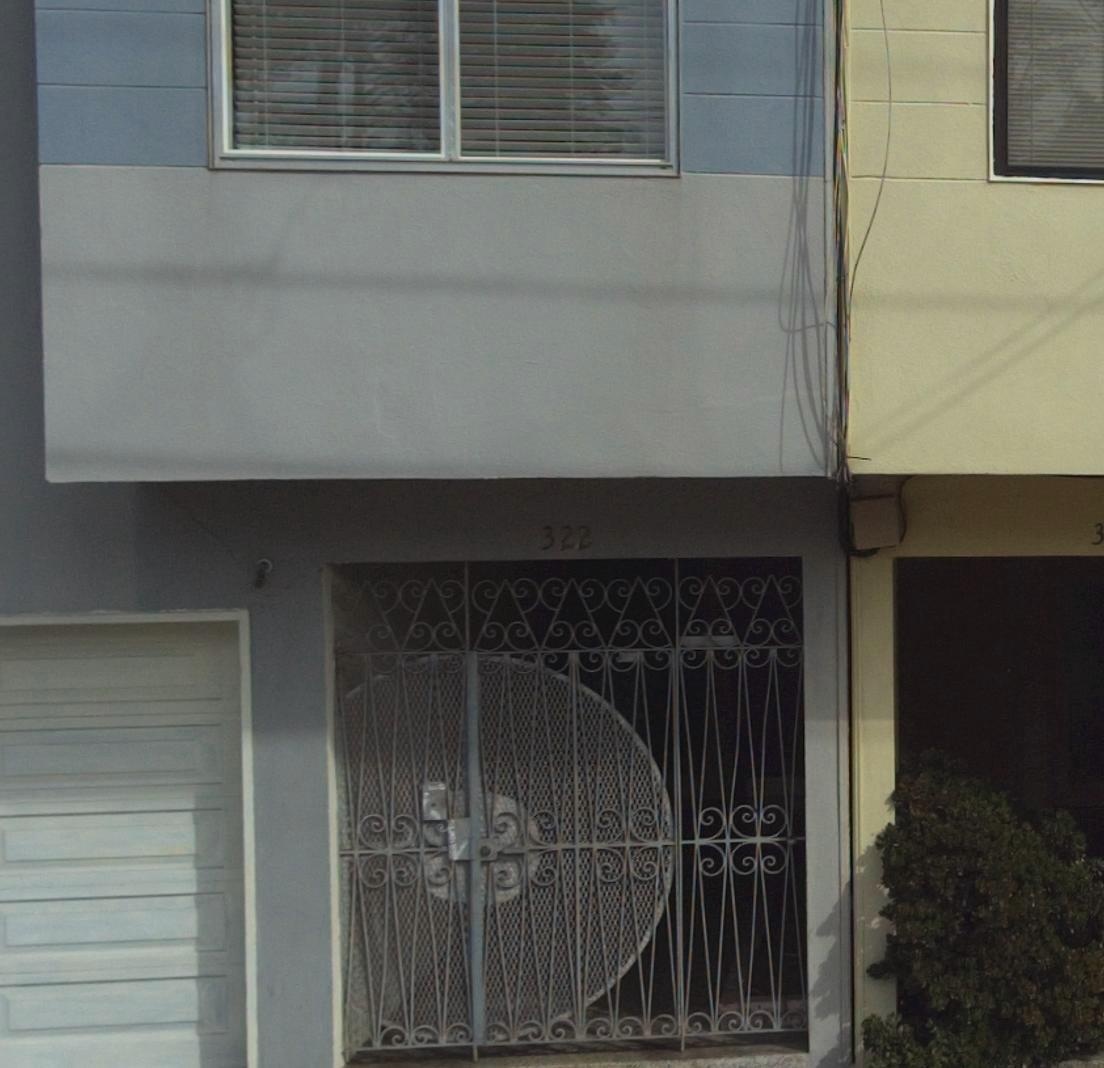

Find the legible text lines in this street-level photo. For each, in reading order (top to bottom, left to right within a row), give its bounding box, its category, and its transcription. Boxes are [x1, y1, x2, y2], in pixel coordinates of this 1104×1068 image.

[539, 523, 594, 552] StreetNumber: 322